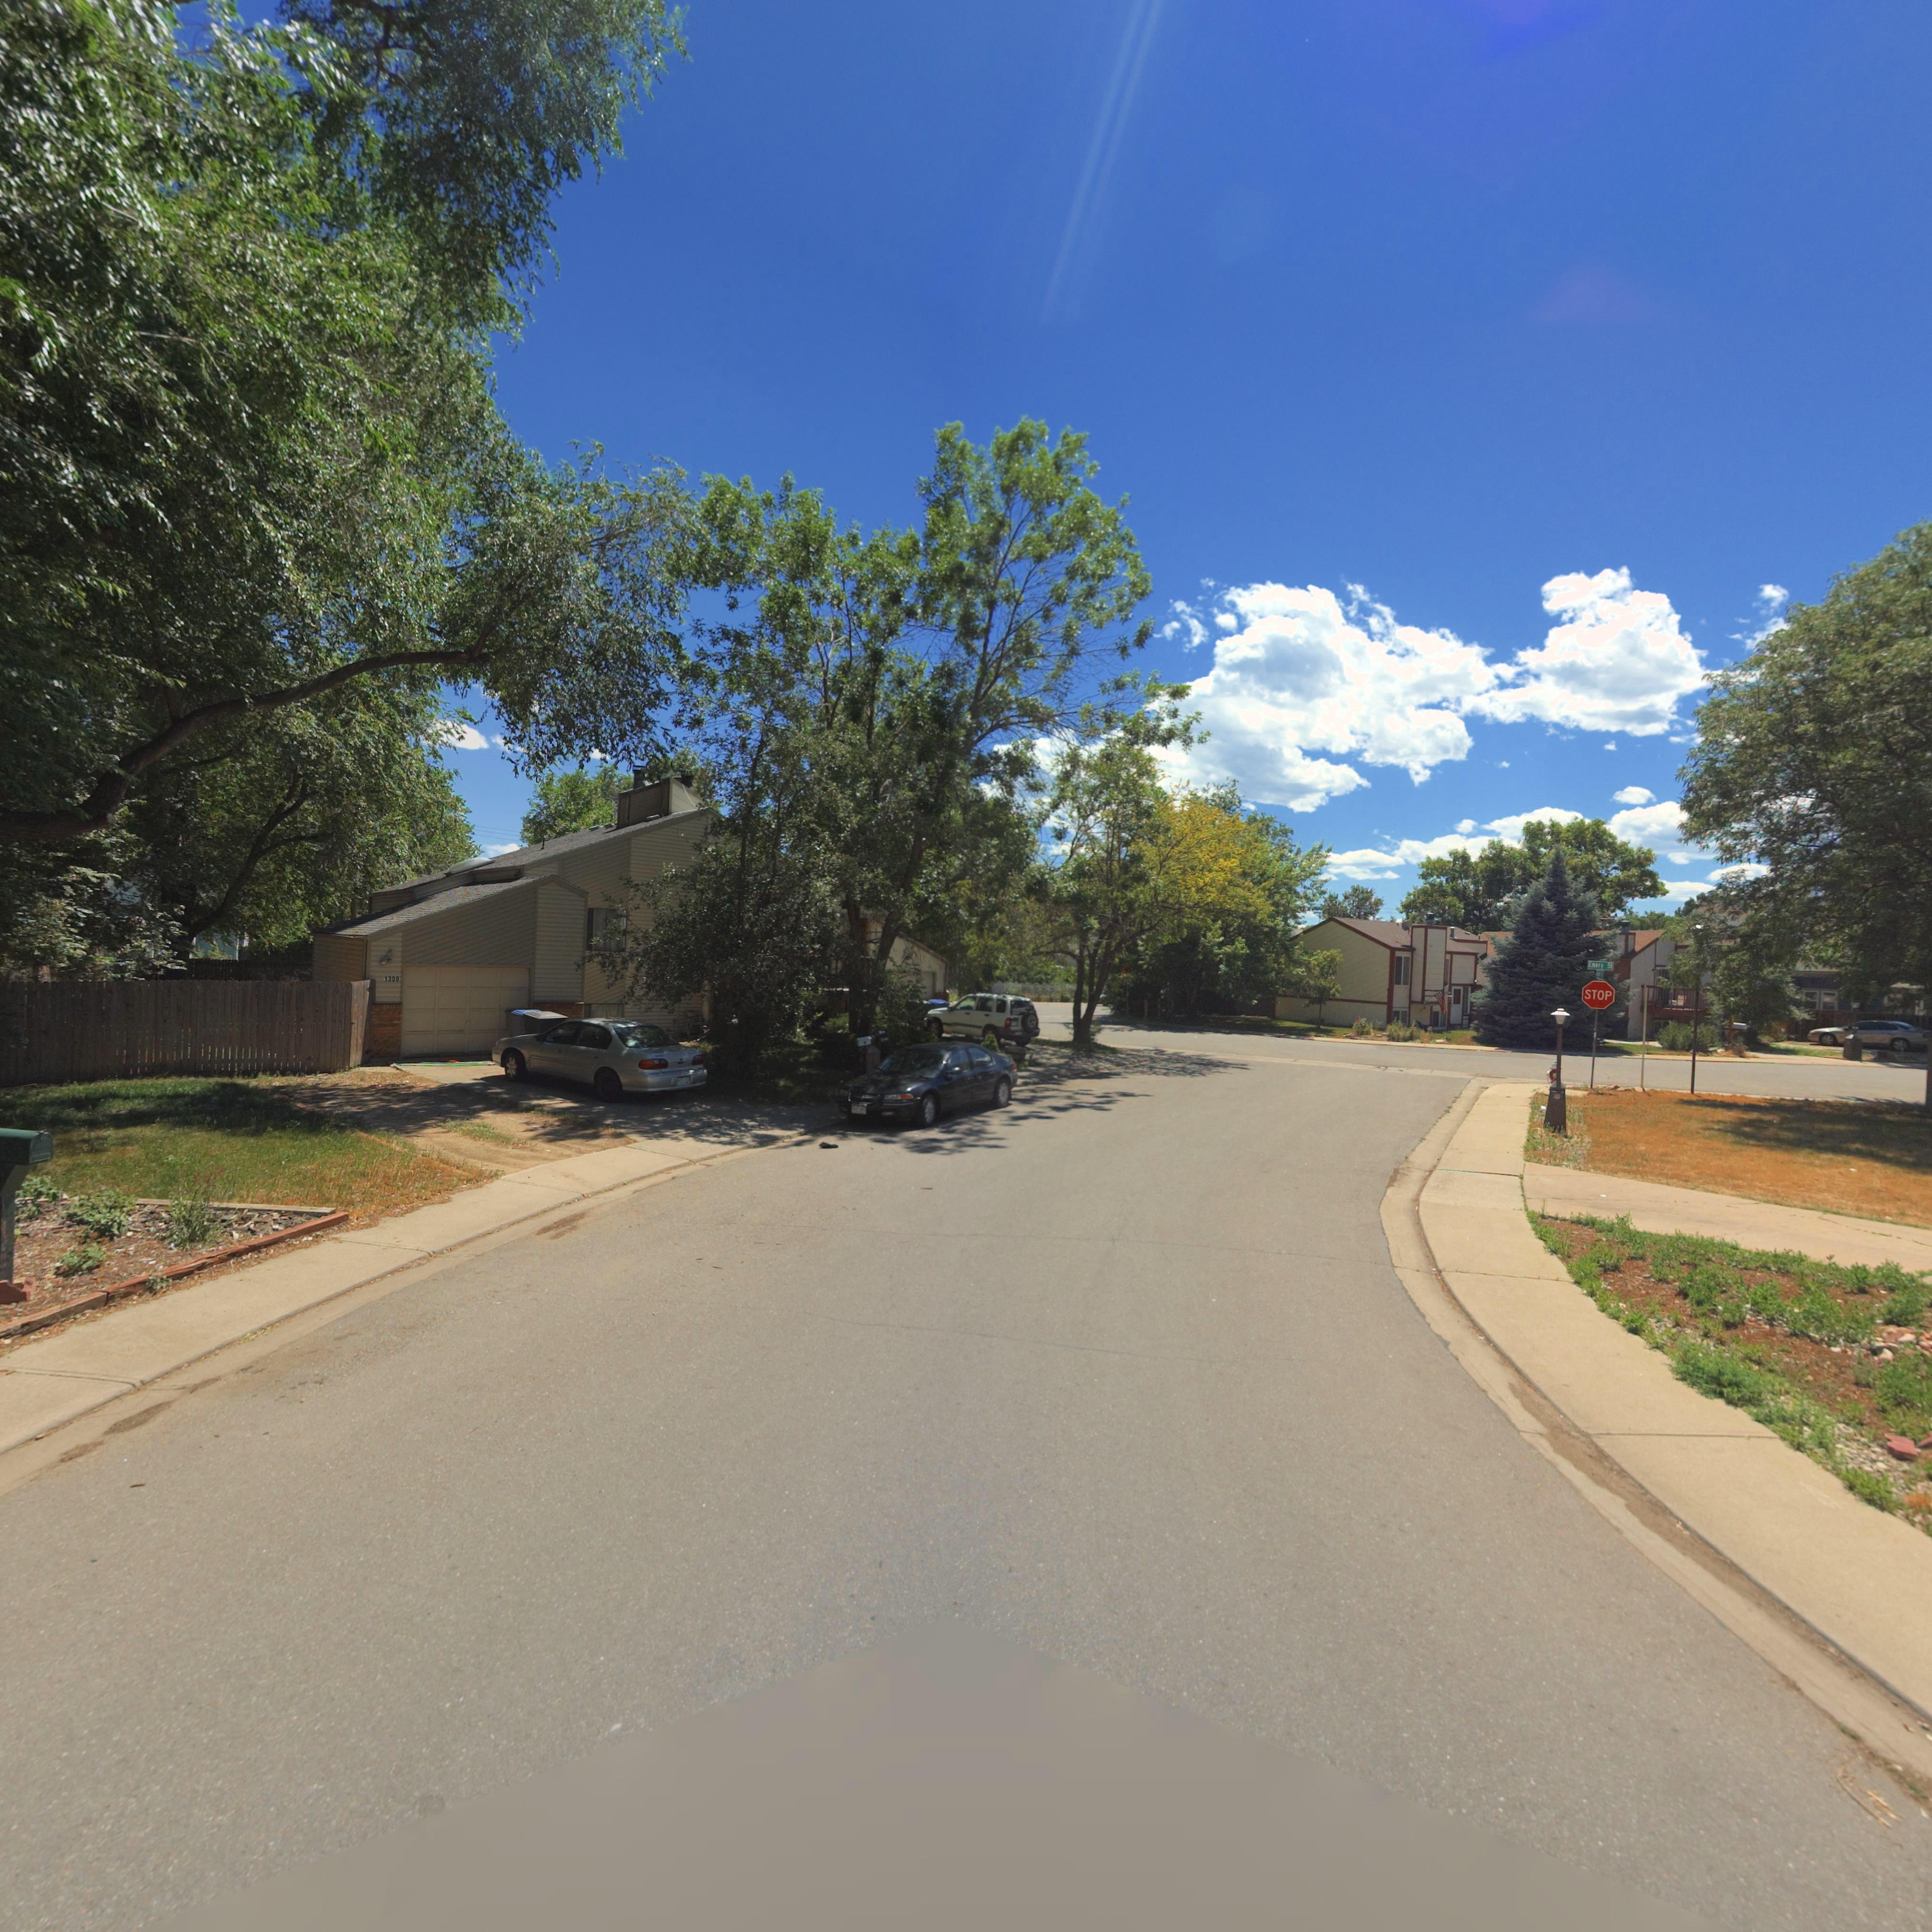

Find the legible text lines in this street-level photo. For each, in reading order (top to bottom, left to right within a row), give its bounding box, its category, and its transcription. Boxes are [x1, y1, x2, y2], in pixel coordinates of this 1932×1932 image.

[1588, 961, 1613, 969] StreetName: Emery S*
[384, 976, 399, 982] StreetNumber: 1308